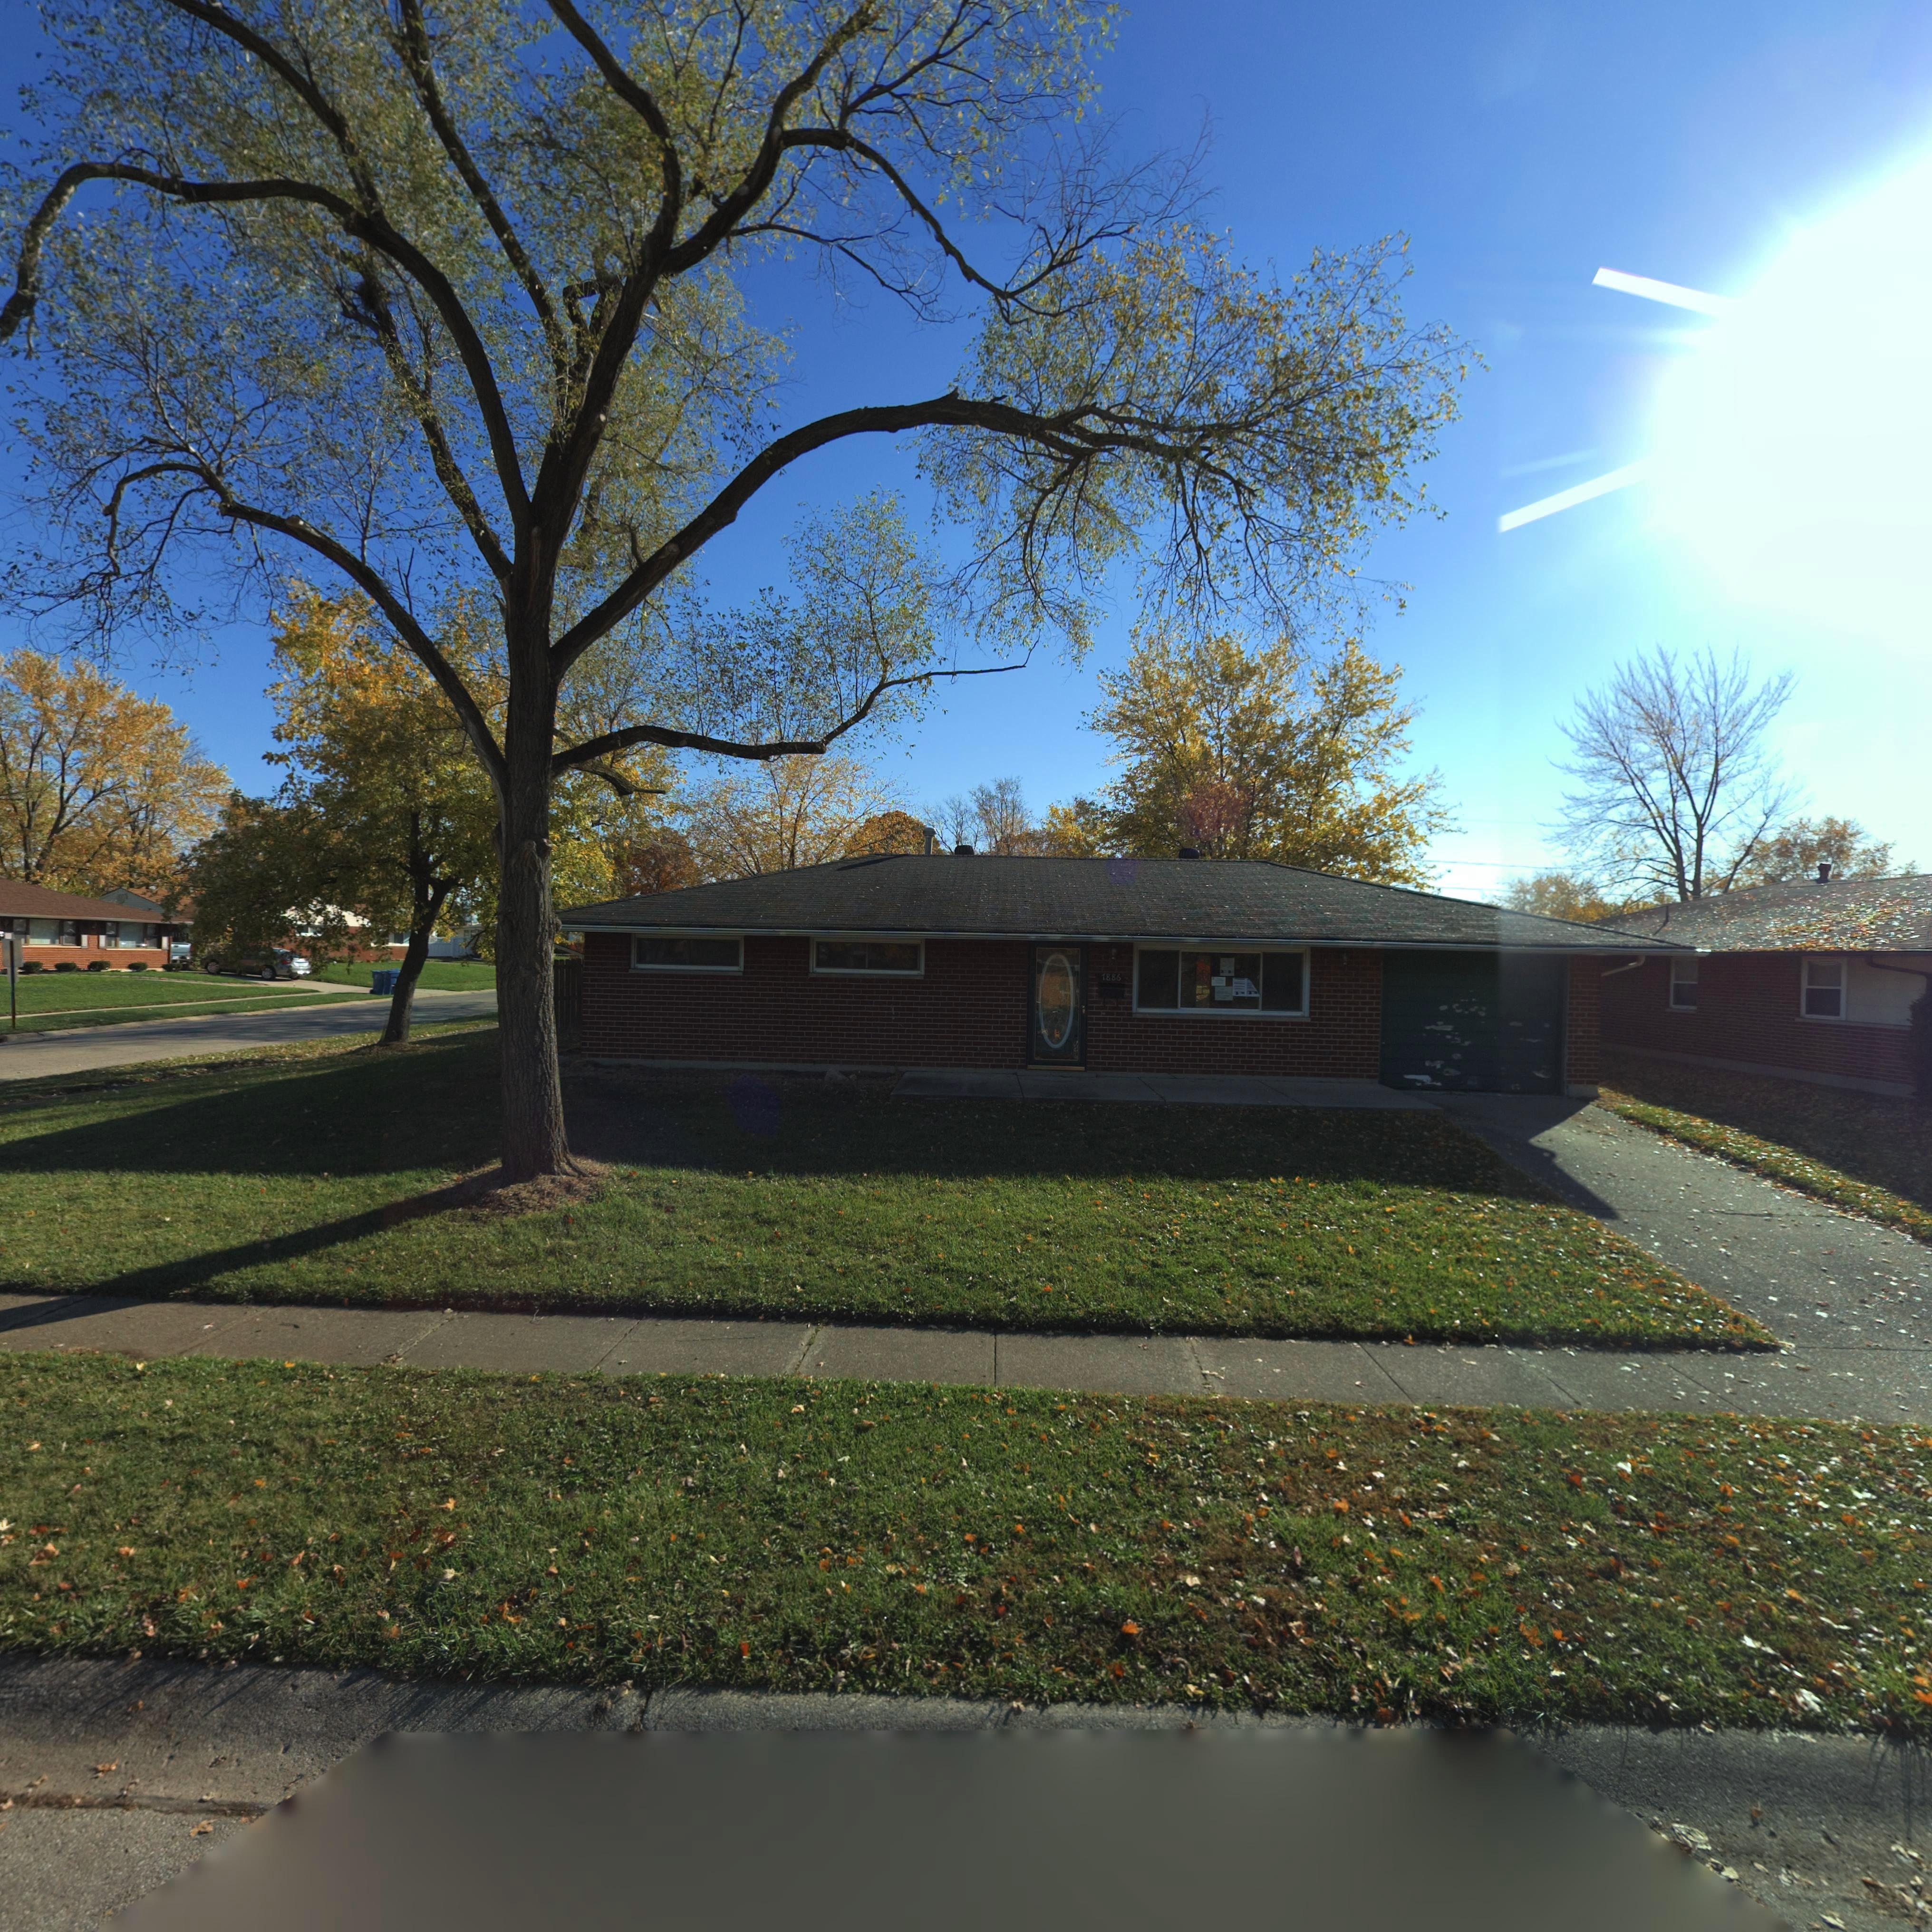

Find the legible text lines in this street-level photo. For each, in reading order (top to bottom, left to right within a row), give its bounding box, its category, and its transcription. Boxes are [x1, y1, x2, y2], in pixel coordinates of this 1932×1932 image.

[1101, 973, 1121, 982] StreetNumber: 7886